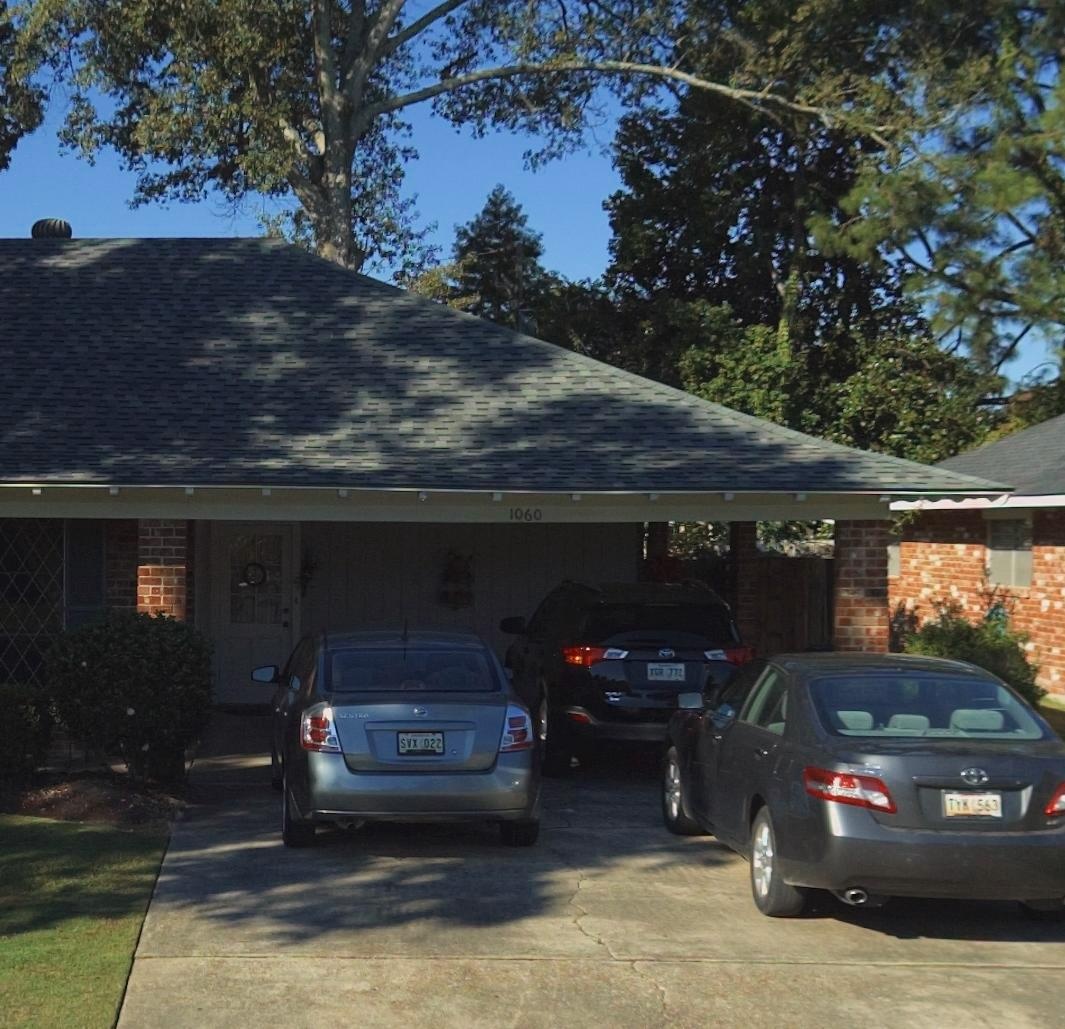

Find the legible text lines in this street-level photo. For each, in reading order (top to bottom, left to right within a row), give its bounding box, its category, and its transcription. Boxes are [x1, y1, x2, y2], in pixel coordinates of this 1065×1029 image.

[508, 506, 544, 523] StreetNumber: 1060
[398, 736, 444, 751] None: SVX*022
[946, 795, 1002, 814] None: TYK*563